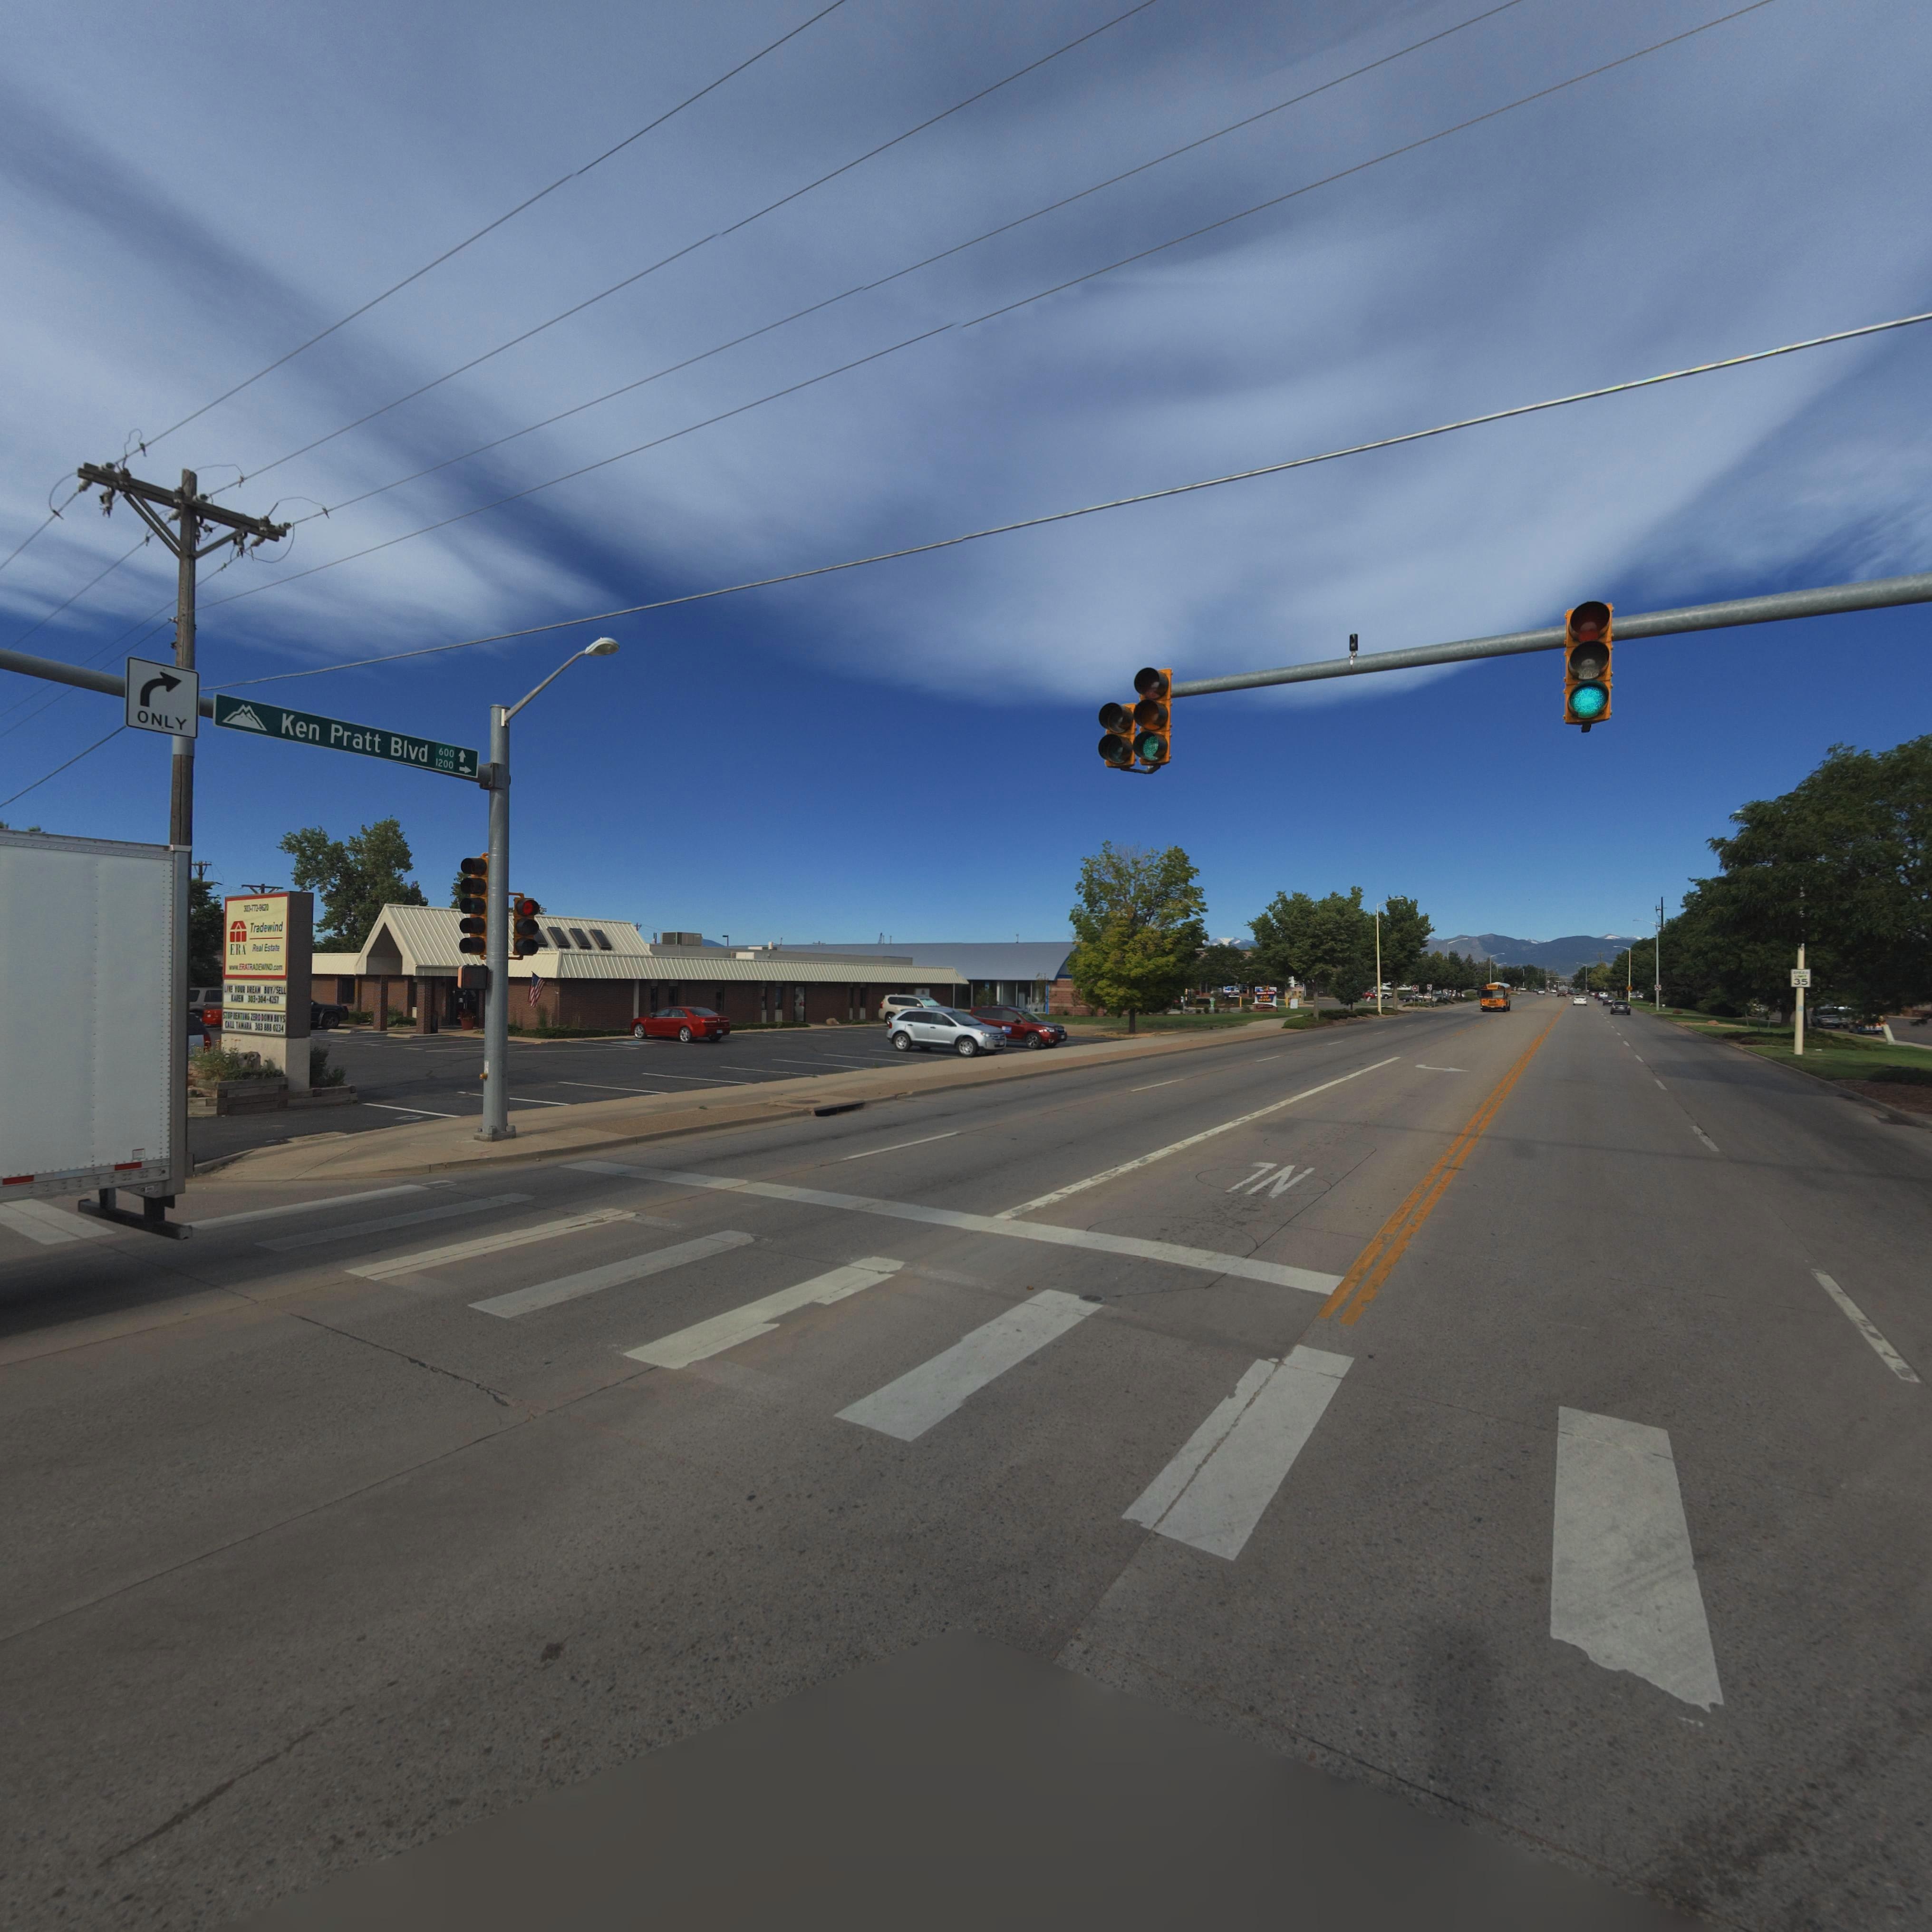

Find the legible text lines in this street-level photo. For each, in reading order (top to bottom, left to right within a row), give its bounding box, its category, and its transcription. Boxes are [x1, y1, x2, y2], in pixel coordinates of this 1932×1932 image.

[280, 712, 429, 763] StreetName: Ken Pratt Blvd
[438, 747, 454, 758] StreetNumberRange: 600
[435, 757, 472, 774] StreetName: 1200->
[249, 920, 284, 933] BusinessName: Tradewind
[229, 943, 247, 956] BusinessName: ERA
[251, 943, 280, 952] BusinessName: Real Estate